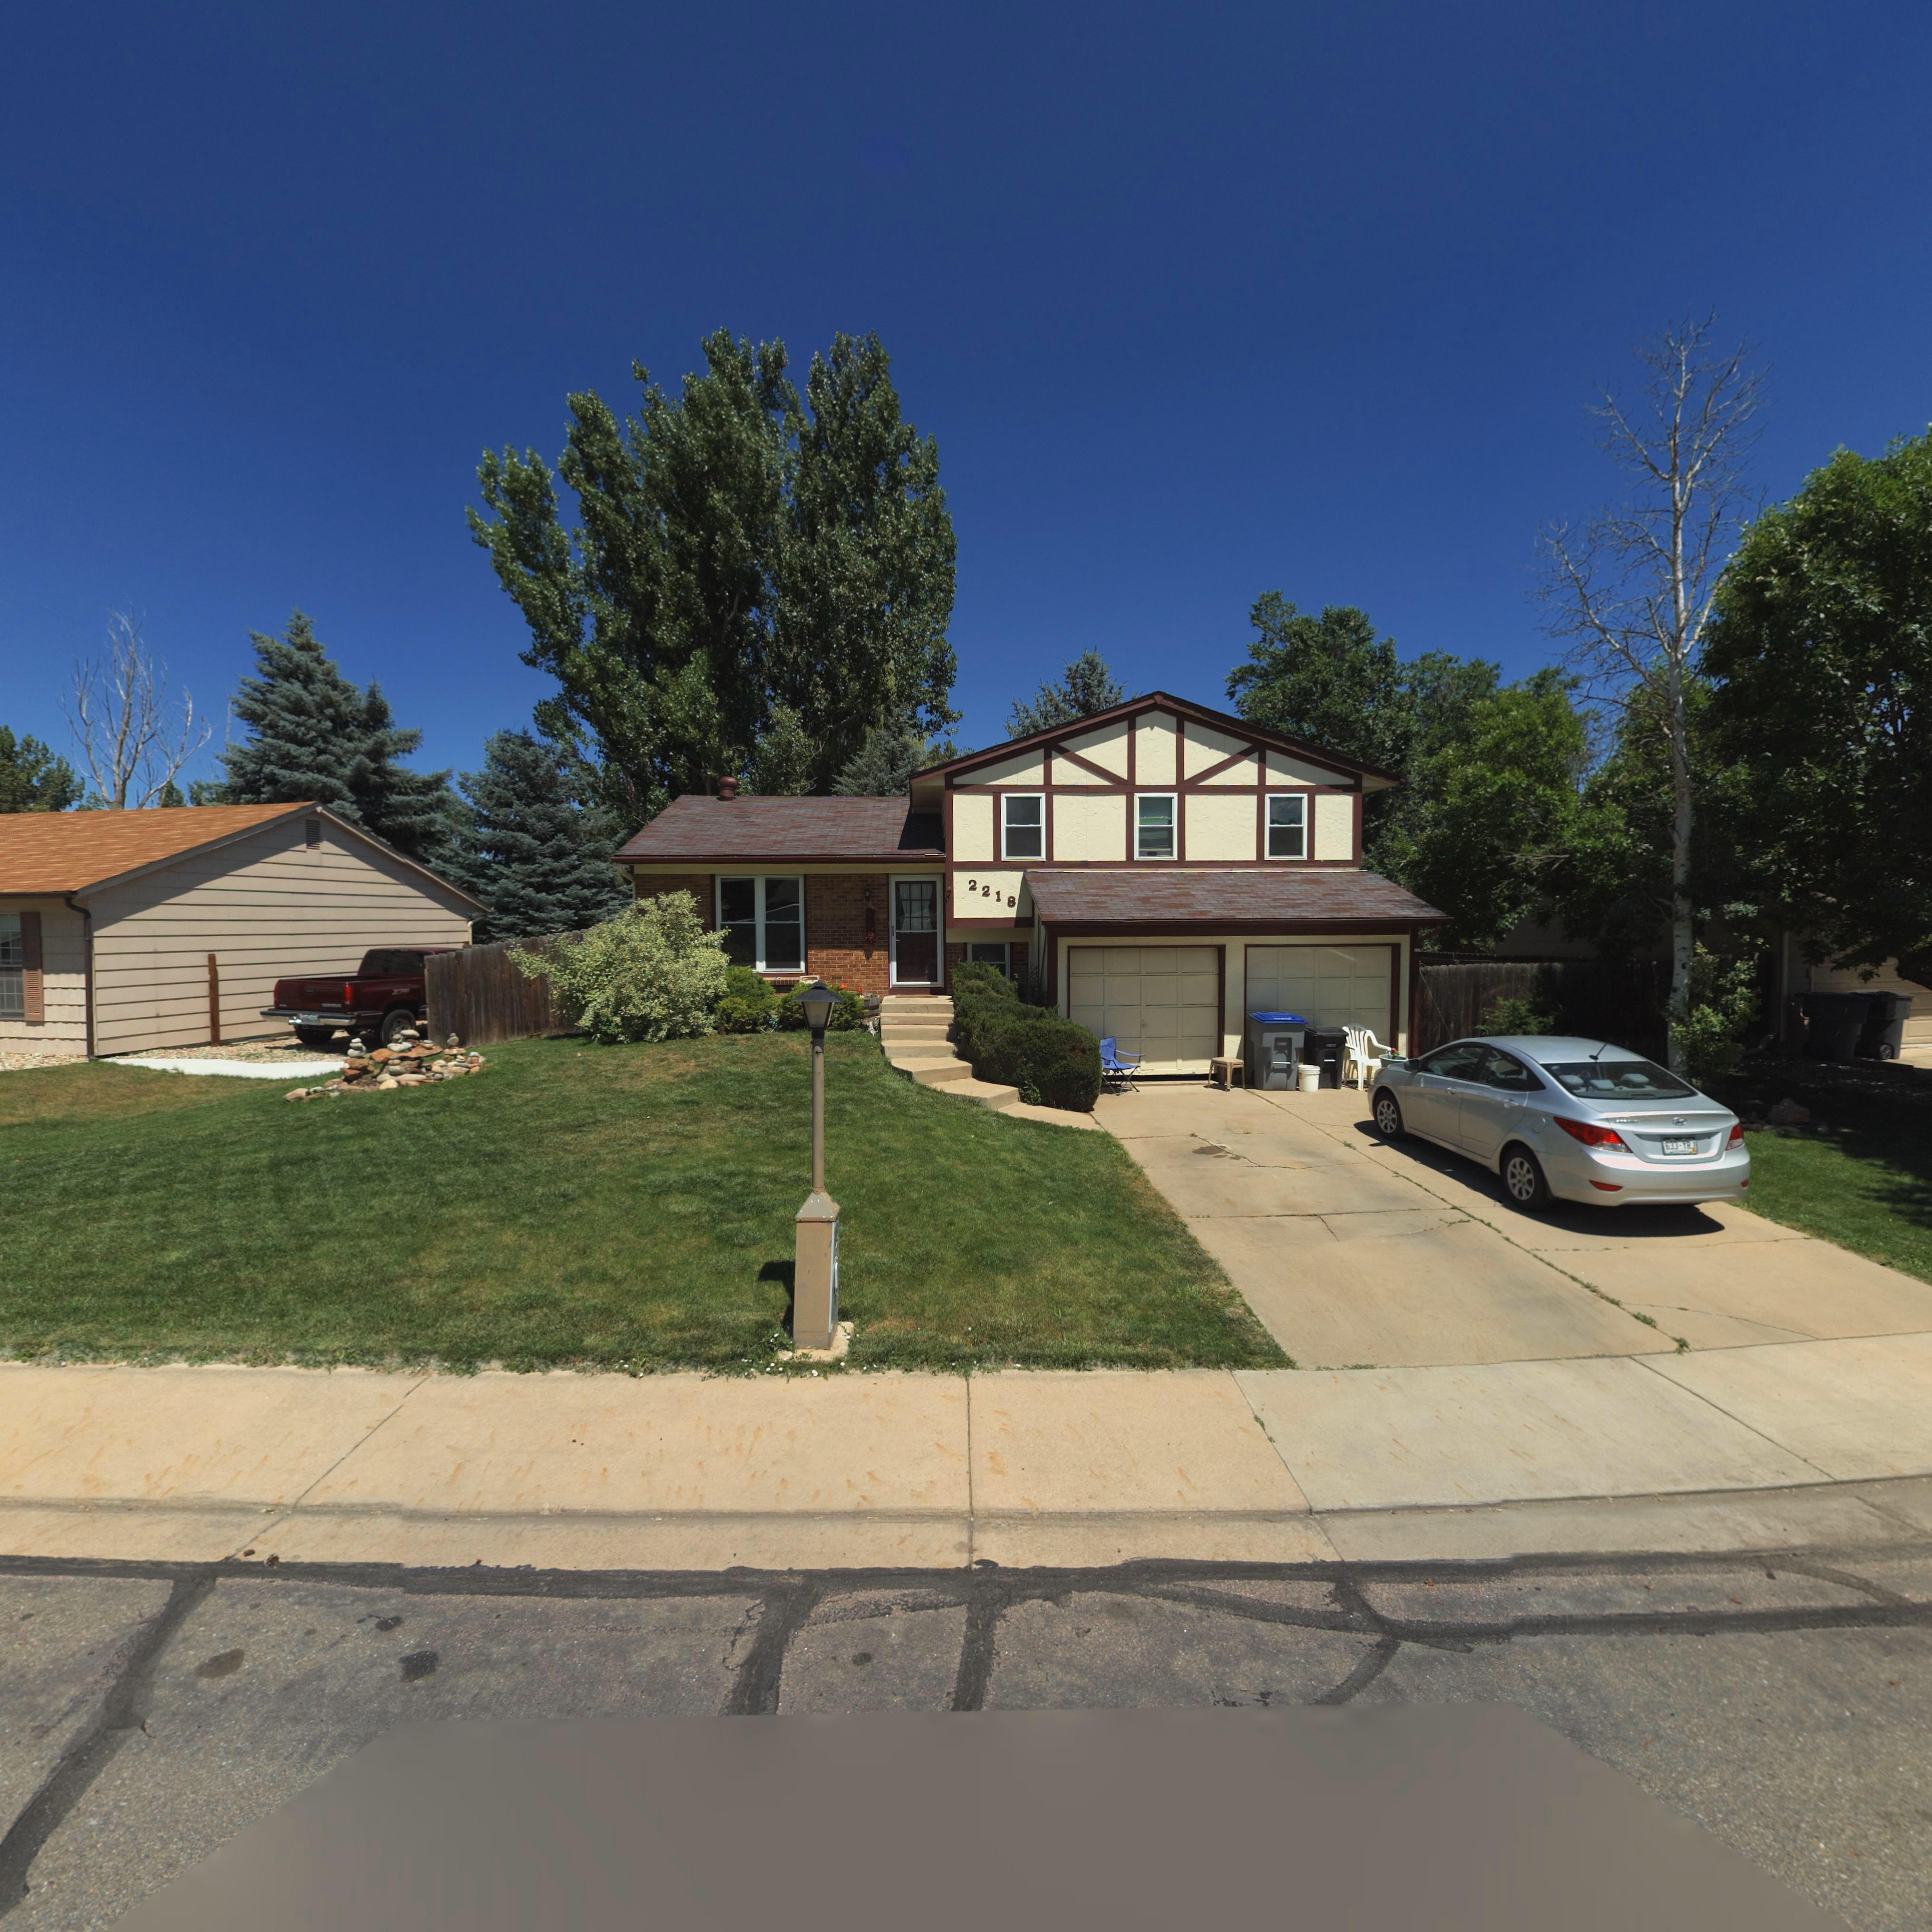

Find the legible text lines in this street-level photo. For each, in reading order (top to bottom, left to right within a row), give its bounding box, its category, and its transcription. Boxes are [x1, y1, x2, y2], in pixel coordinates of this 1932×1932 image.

[966, 878, 1016, 908] StreetNumber: 2218